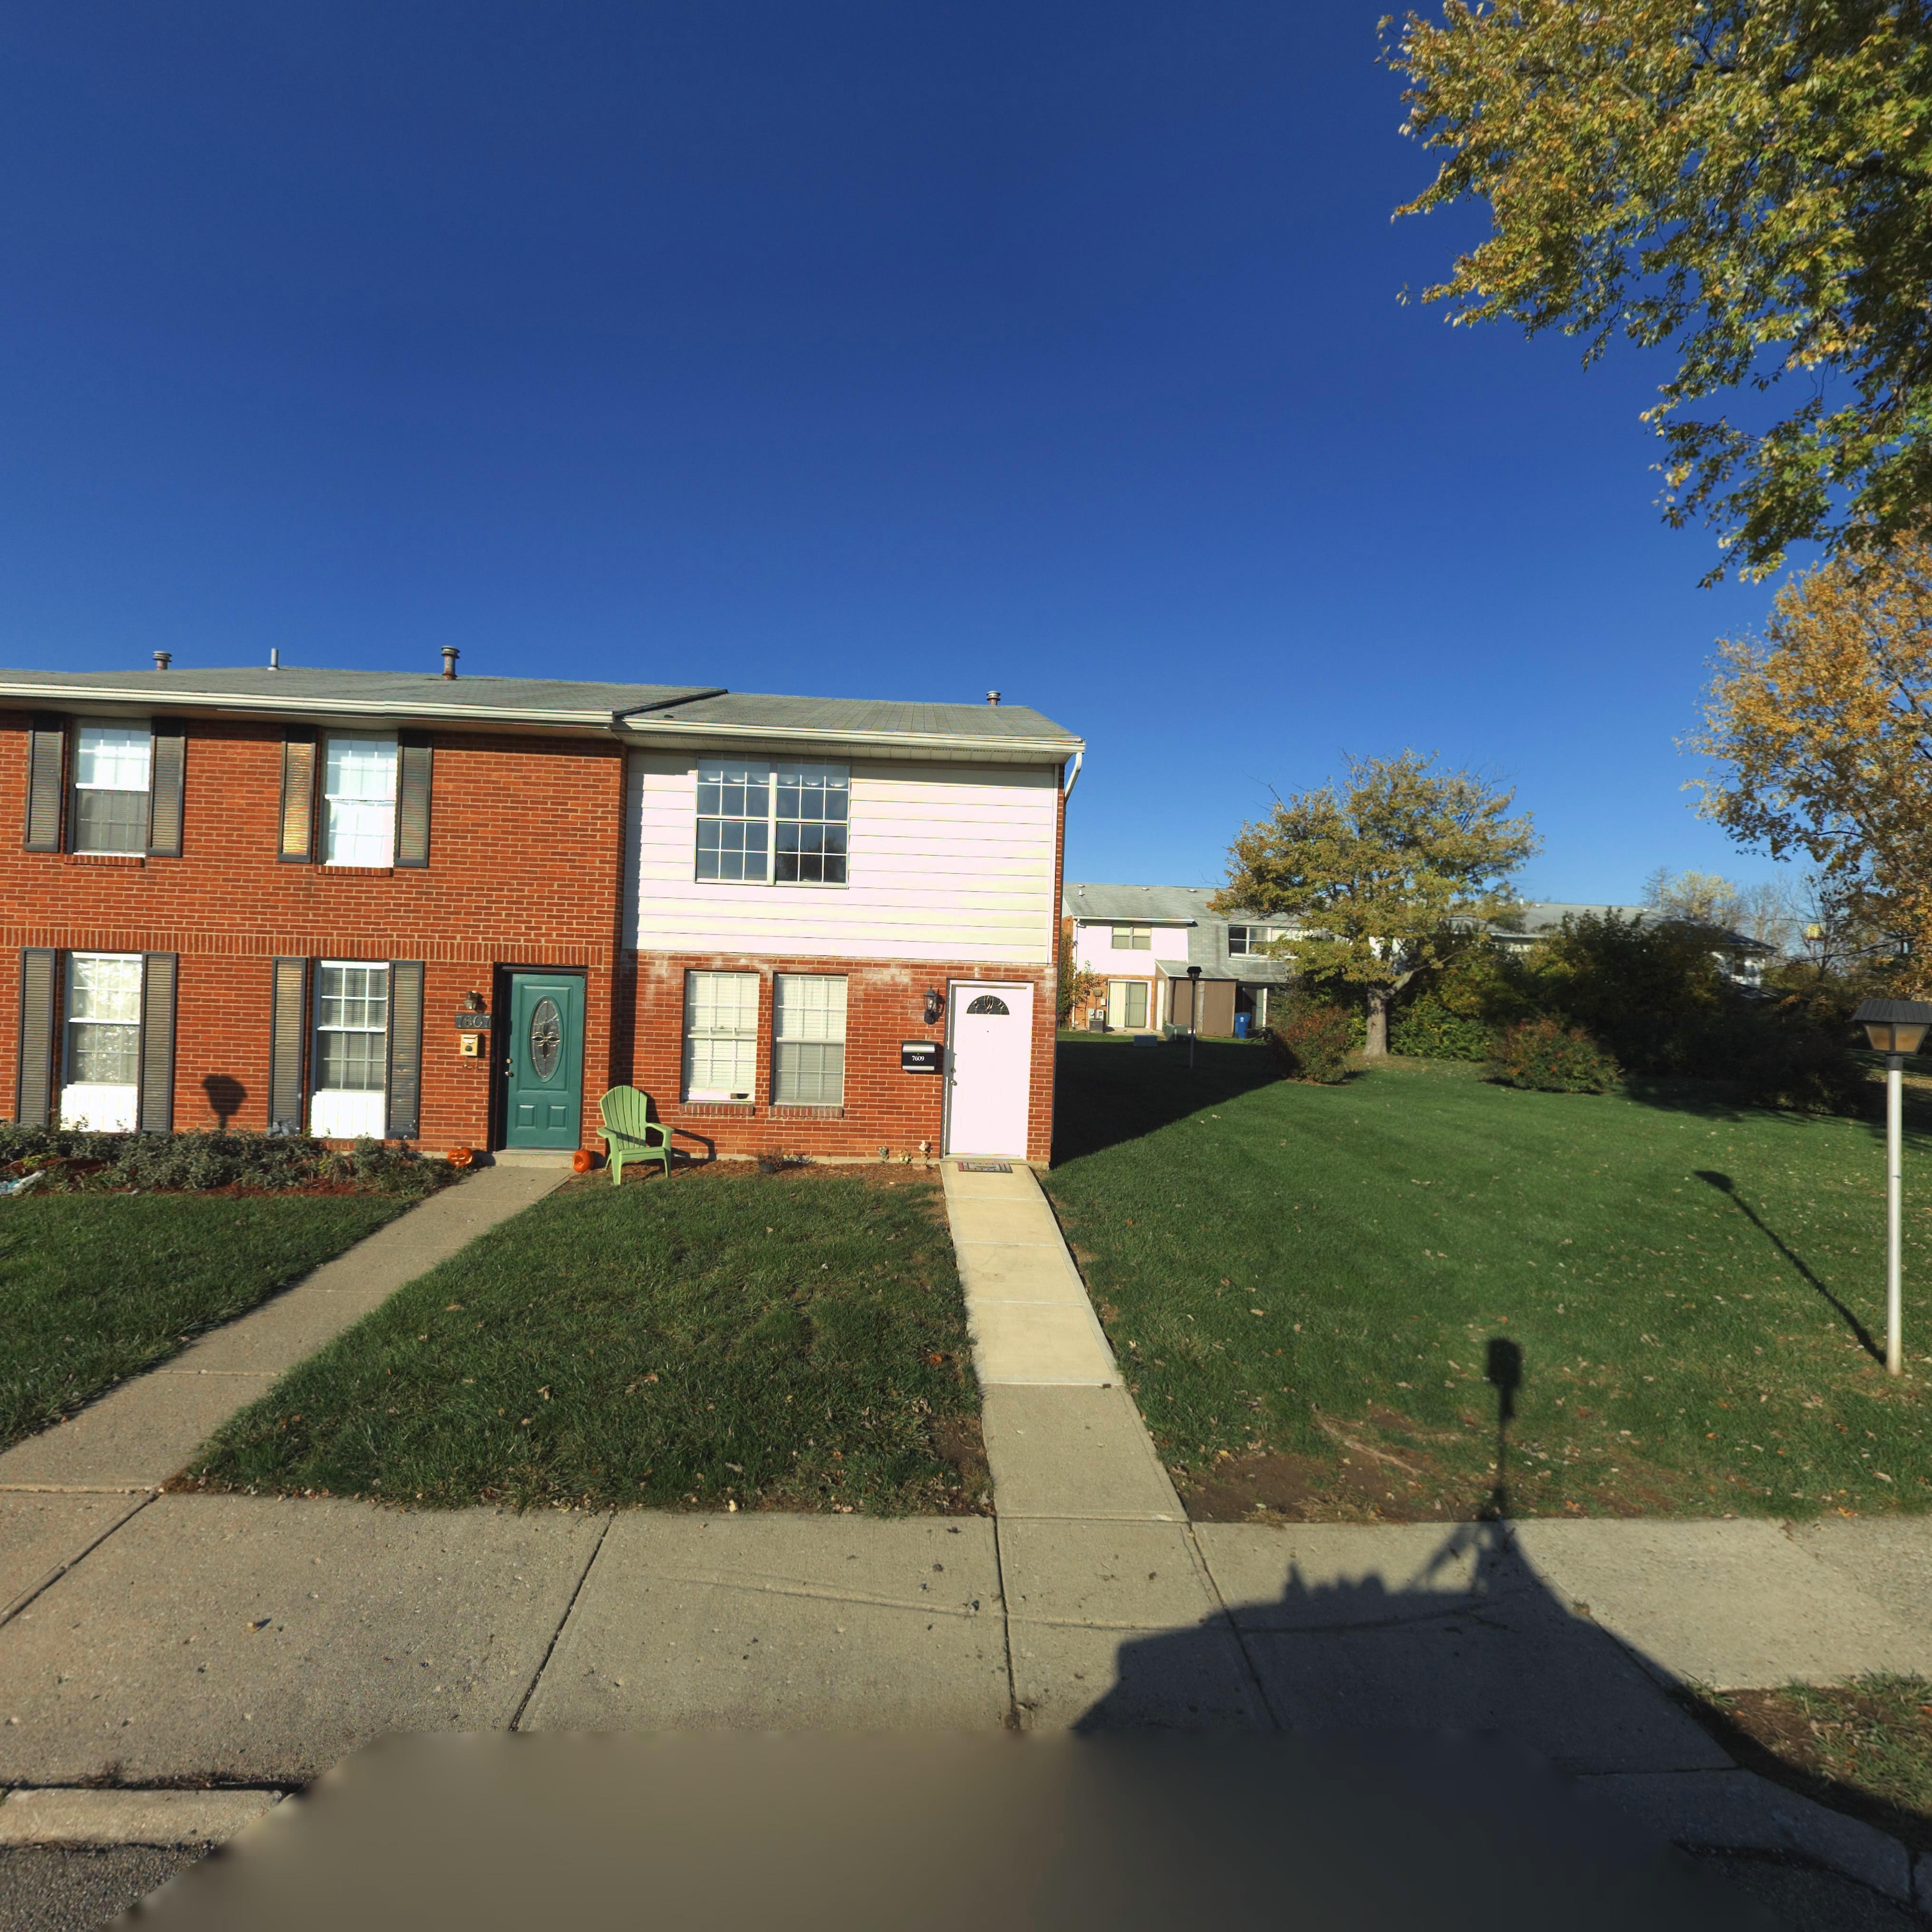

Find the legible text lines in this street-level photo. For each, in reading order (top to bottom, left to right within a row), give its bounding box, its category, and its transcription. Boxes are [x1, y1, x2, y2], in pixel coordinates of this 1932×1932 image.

[454, 1015, 493, 1028] StreetNumber: 7607
[911, 1055, 925, 1062] StreetNumber: 7609